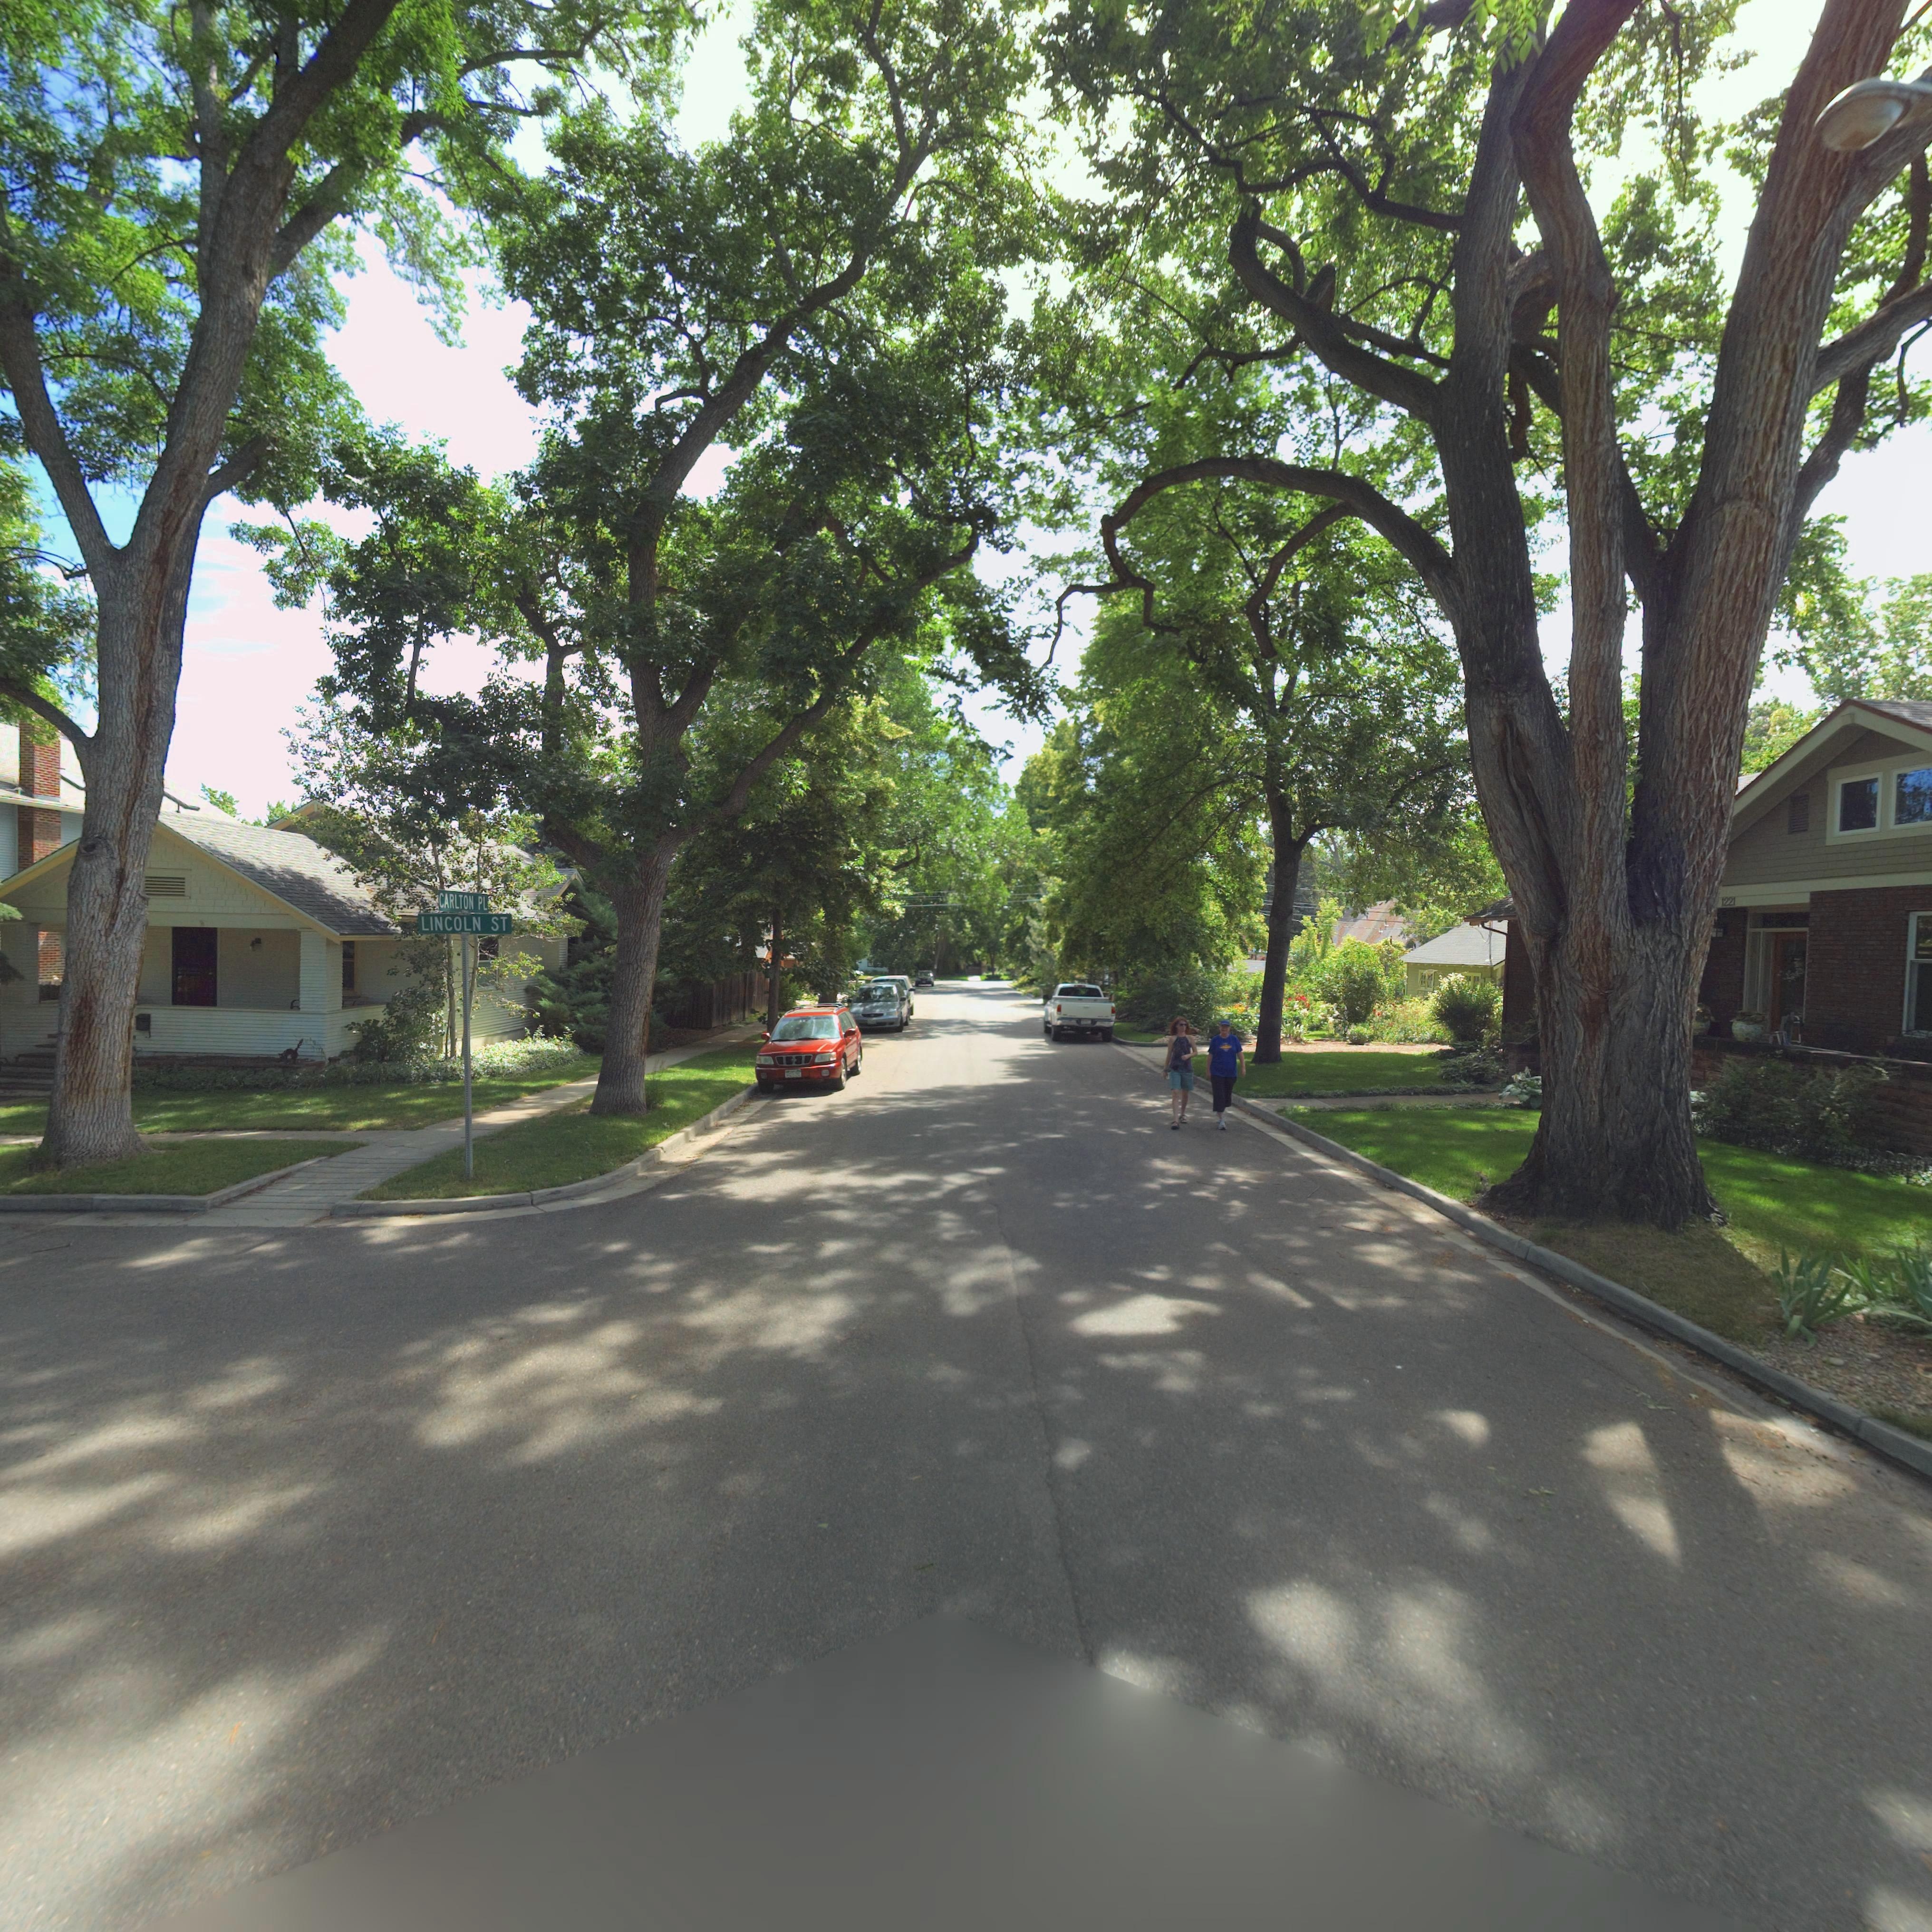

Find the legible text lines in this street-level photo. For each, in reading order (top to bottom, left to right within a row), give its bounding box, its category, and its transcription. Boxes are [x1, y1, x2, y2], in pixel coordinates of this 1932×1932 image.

[439, 892, 487, 910] StreetName: CARLTON PL
[1721, 897, 1736, 906] StreetNumber: 1221
[421, 916, 507, 931] StreetName: LINCOLN ST